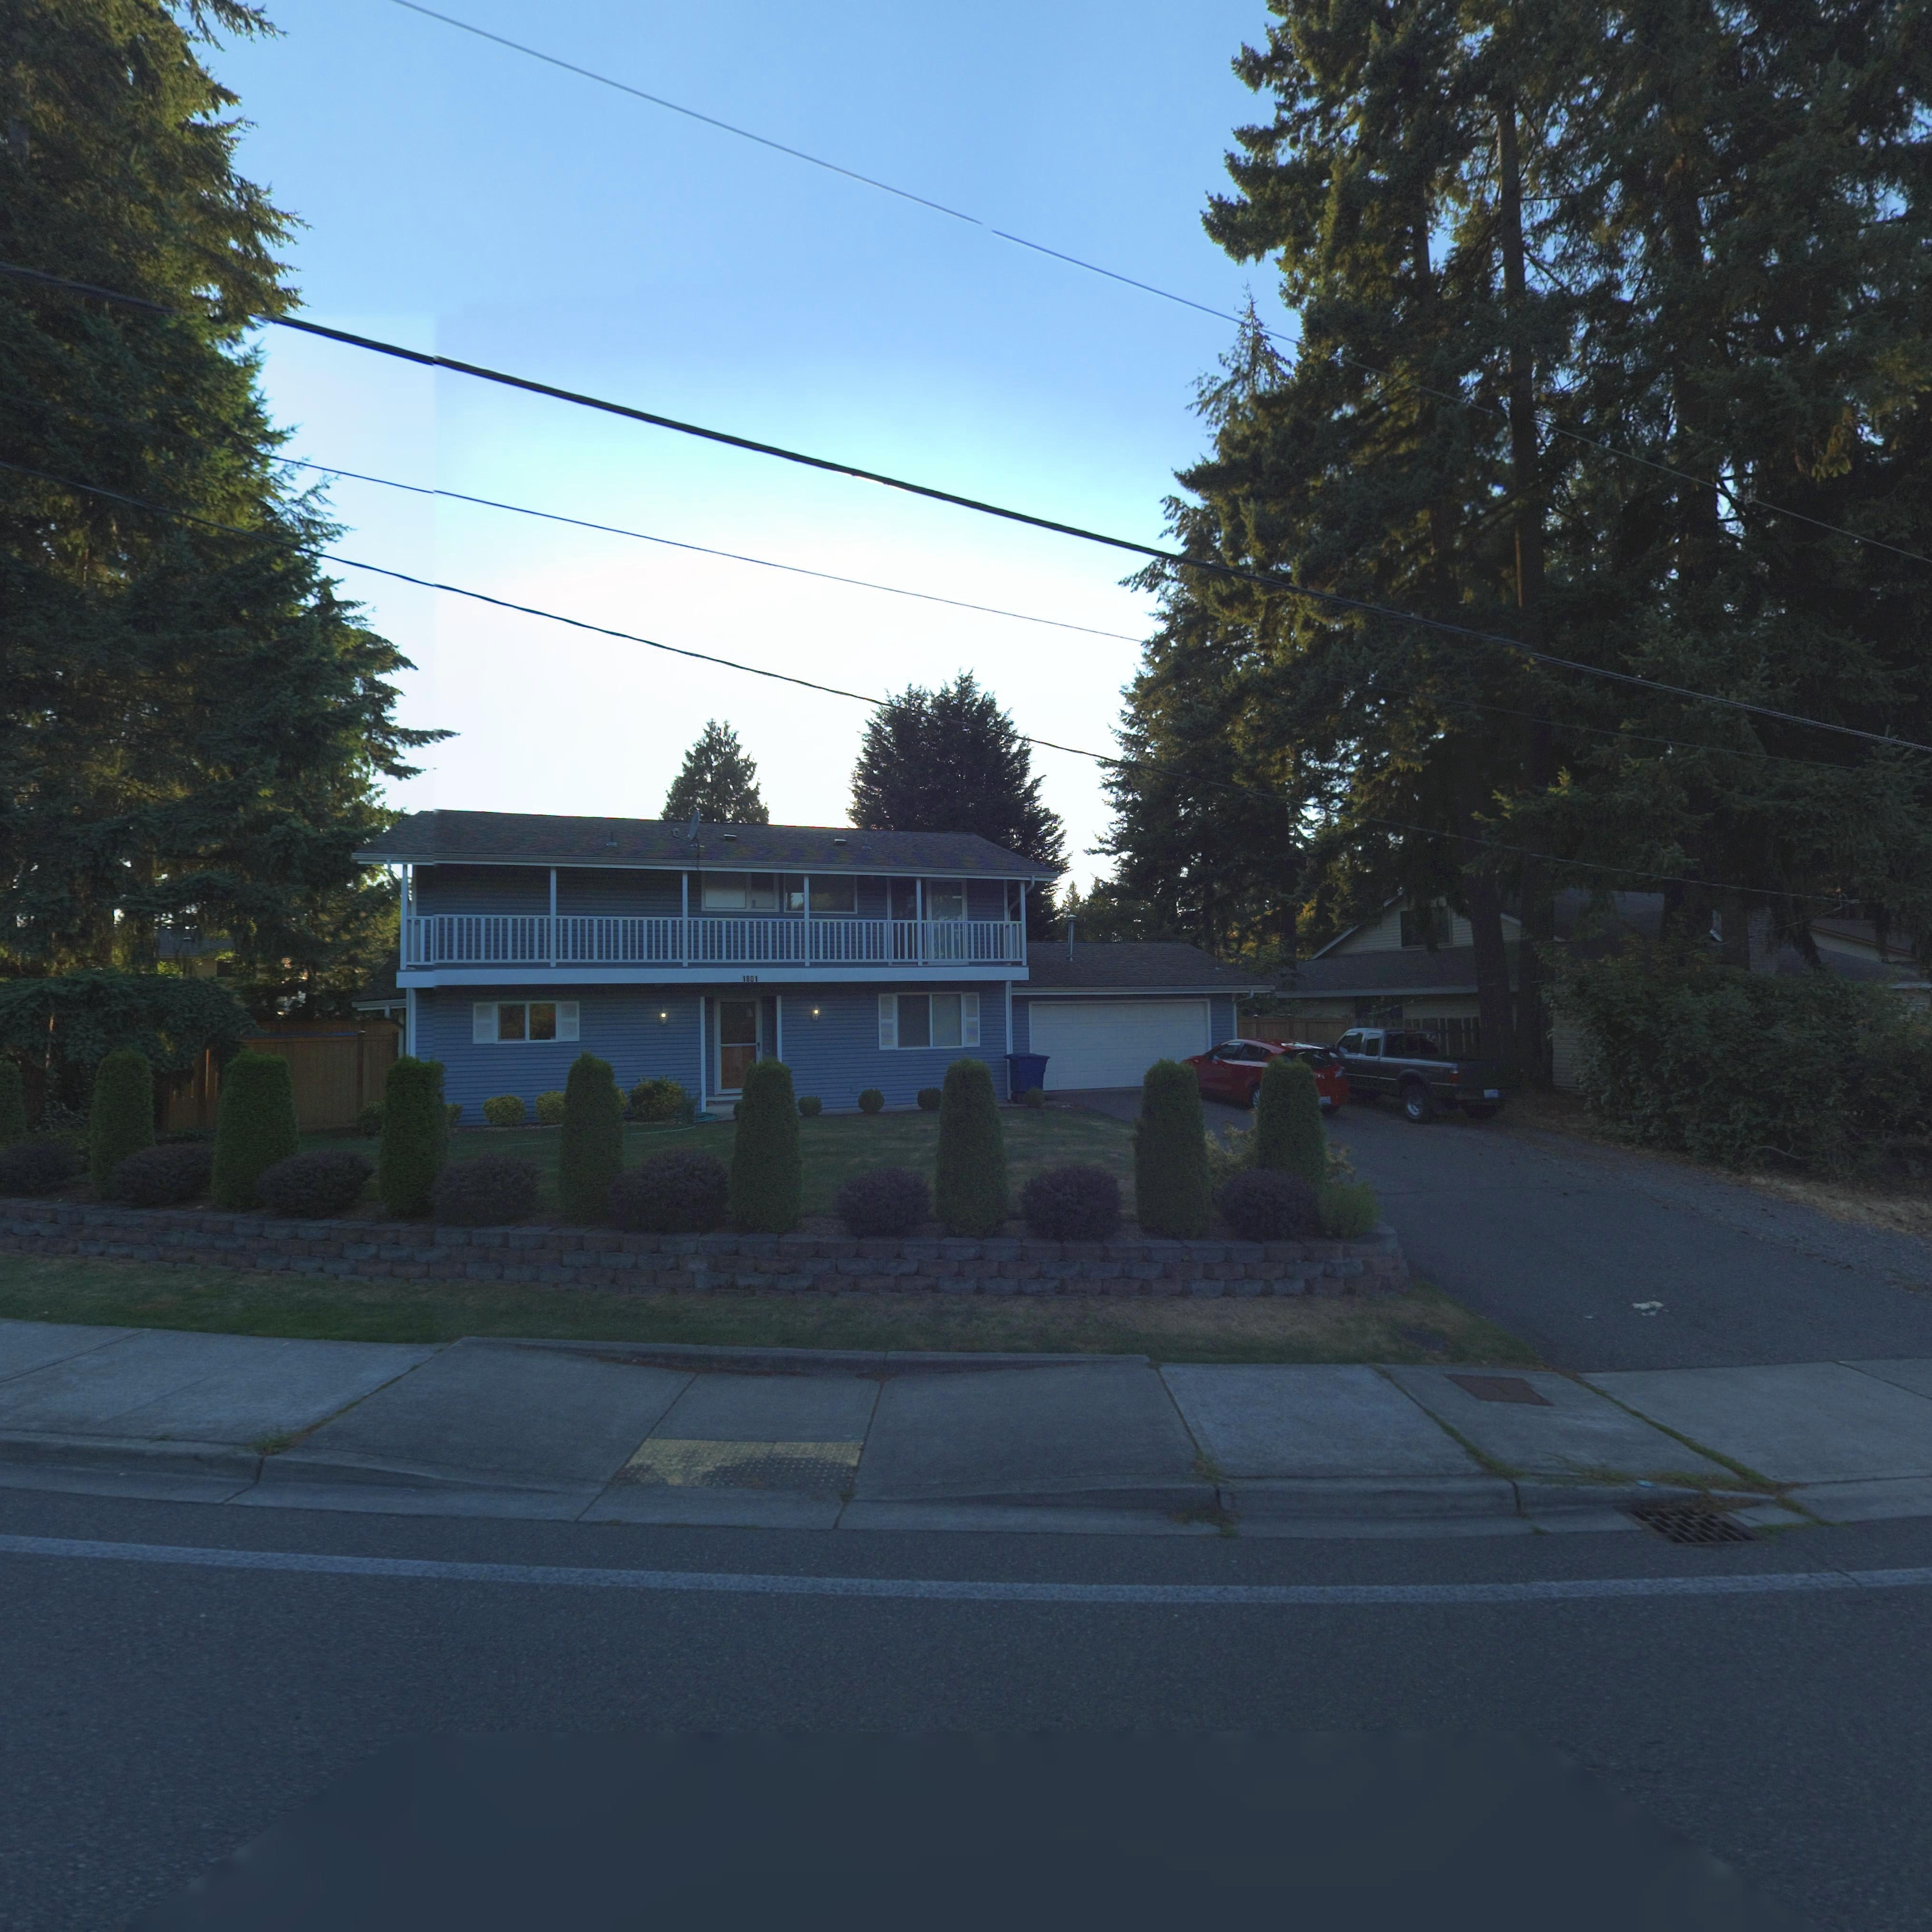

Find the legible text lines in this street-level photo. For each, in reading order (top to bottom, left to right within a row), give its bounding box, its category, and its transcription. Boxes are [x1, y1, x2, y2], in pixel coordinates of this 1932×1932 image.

[743, 976, 757, 982] StreetNumber: 1801